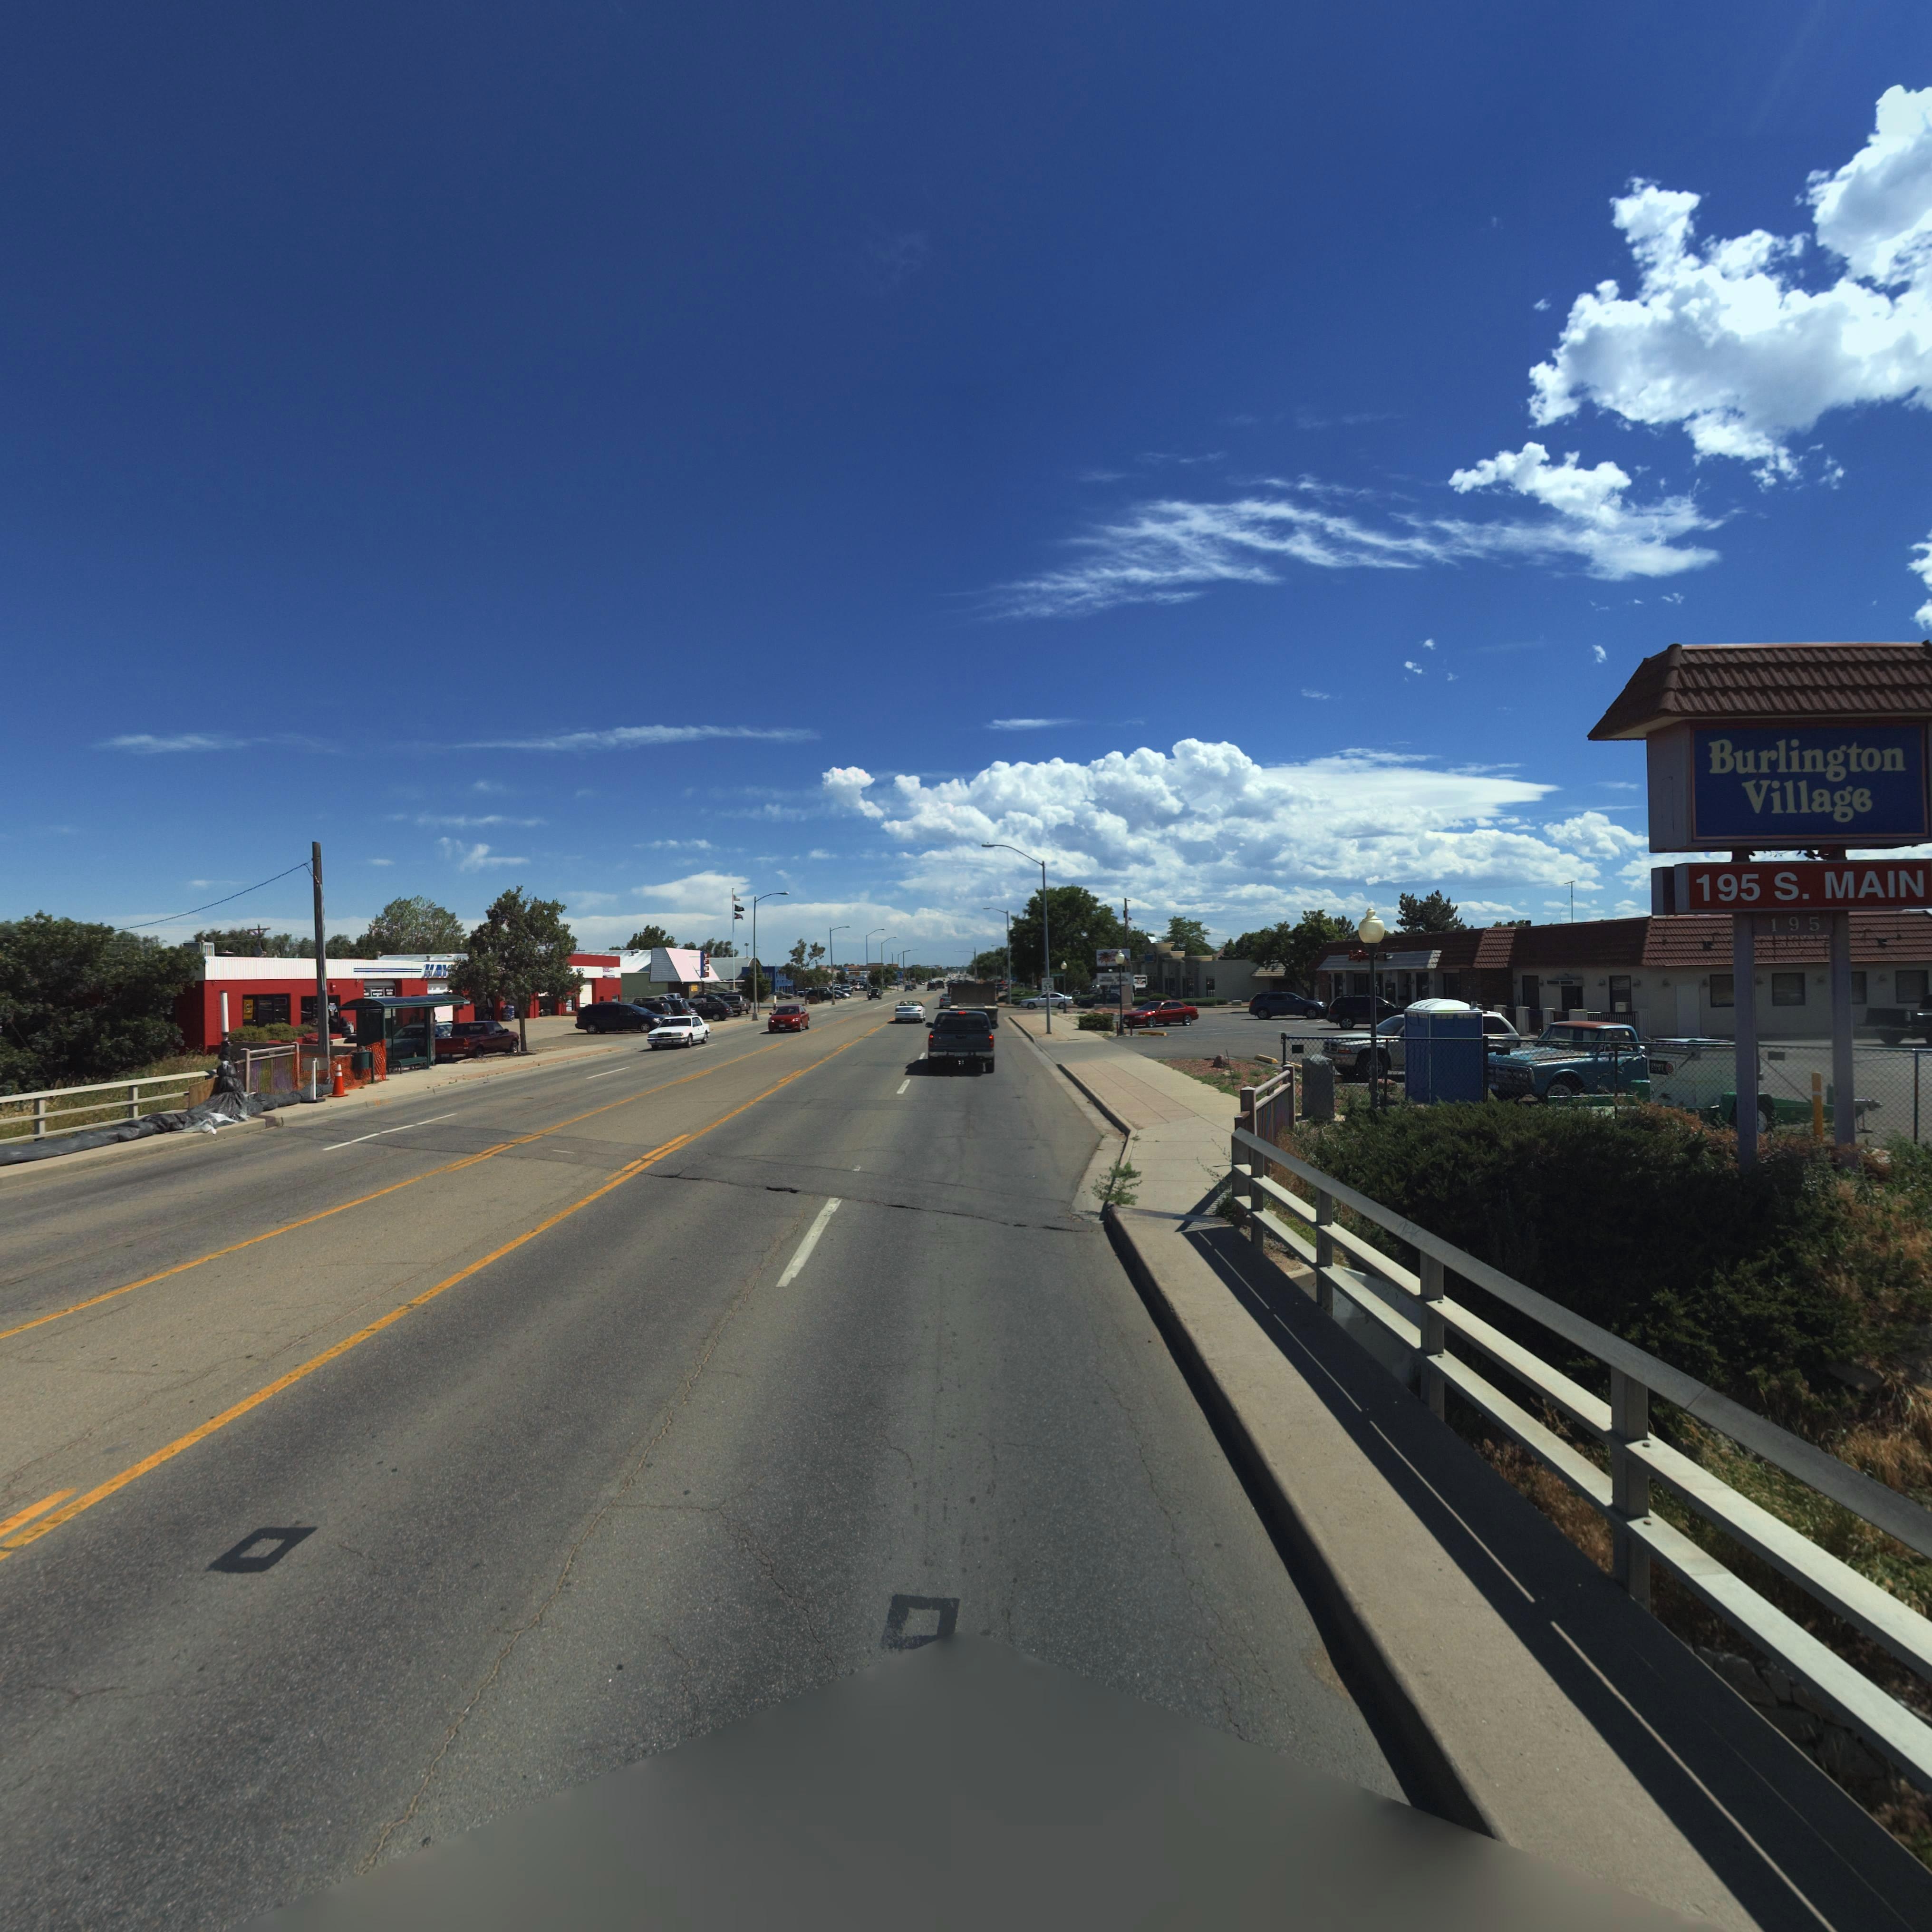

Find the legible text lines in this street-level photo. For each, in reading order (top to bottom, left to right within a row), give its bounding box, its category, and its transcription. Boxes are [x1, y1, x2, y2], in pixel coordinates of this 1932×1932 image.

[1695, 873, 1760, 903] StreetNumber: 195
[1773, 869, 1925, 901] StreetName: S. MAIN
[1768, 915, 1820, 934] StreetNumber: 195
[422, 963, 453, 977] BusinessName: HAY
[703, 953, 708, 971] BusinessName: VFW